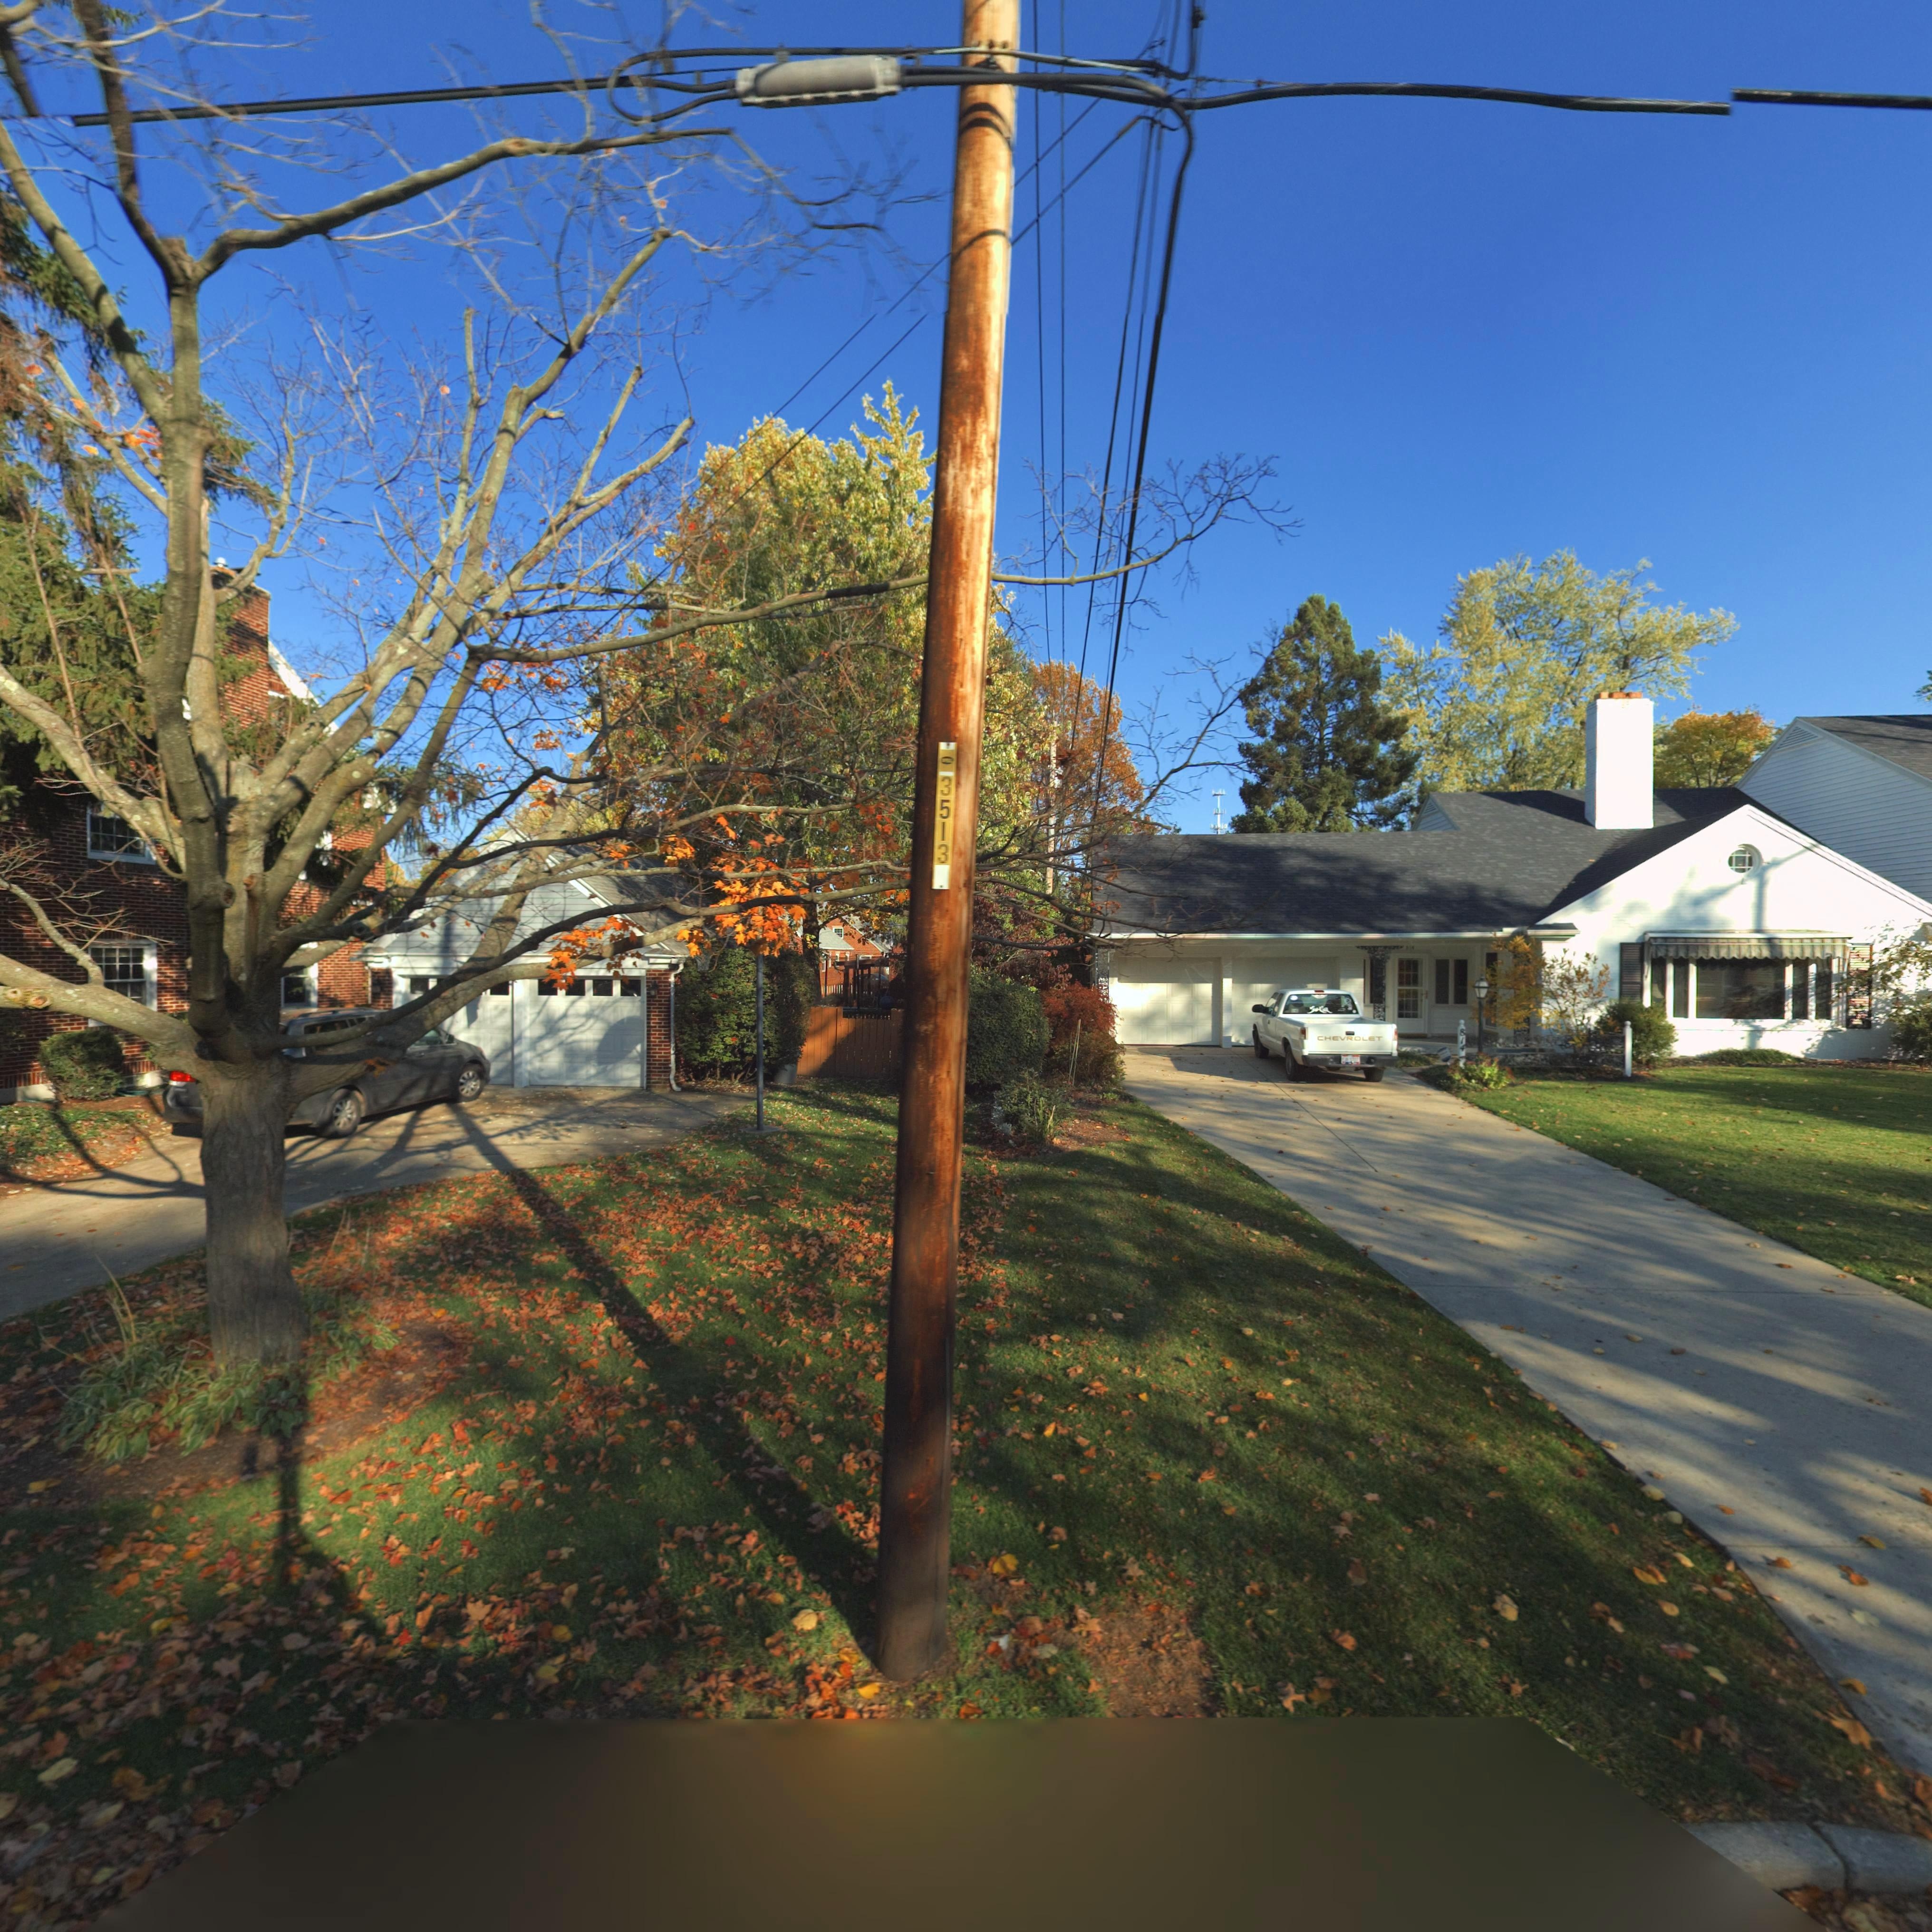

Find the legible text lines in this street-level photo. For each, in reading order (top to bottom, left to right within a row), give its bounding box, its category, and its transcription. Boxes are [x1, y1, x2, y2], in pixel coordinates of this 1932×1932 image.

[1404, 945, 1415, 950] StreetNumber: *14
[1459, 1028, 1466, 1052] StreetNumber: 814